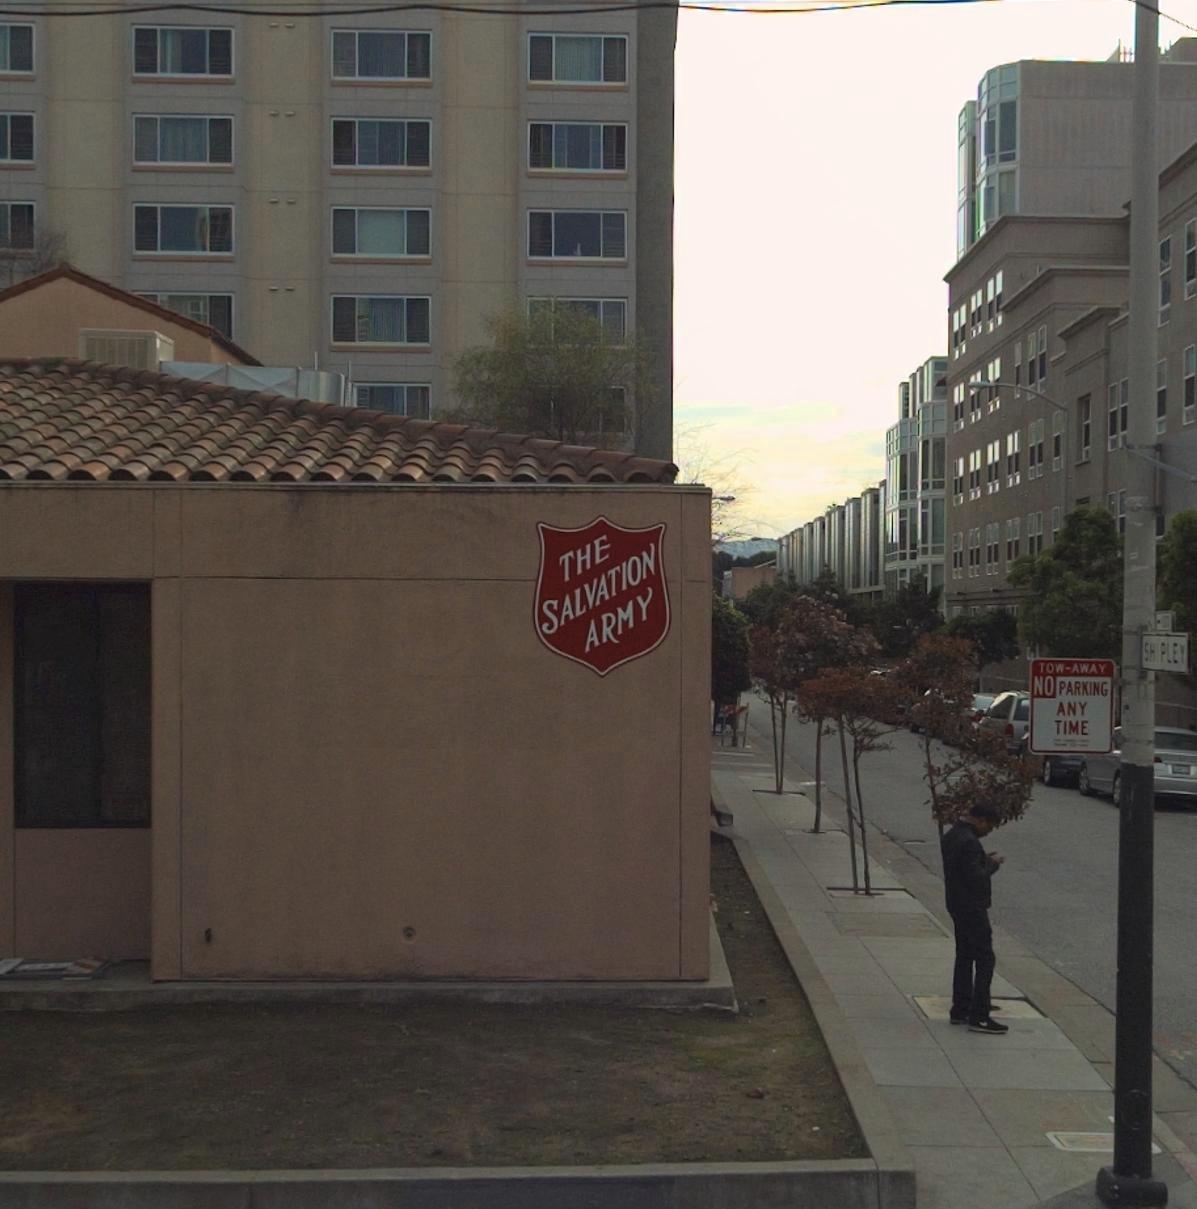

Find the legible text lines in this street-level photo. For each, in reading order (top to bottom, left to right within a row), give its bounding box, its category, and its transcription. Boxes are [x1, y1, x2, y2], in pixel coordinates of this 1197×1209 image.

[556, 526, 613, 590] BusinessName: THE
[537, 537, 660, 640] BusinessName: SALVATION
[580, 583, 656, 660] BusinessName: ARMY
[1142, 639, 1187, 666] StreetName: SHIPLEY
[1036, 660, 1109, 675] None: TOW-AWAY
[1031, 673, 1111, 698] None: NO PARKING
[1052, 699, 1090, 719] None: ANY
[1052, 718, 1092, 738] None: TIME